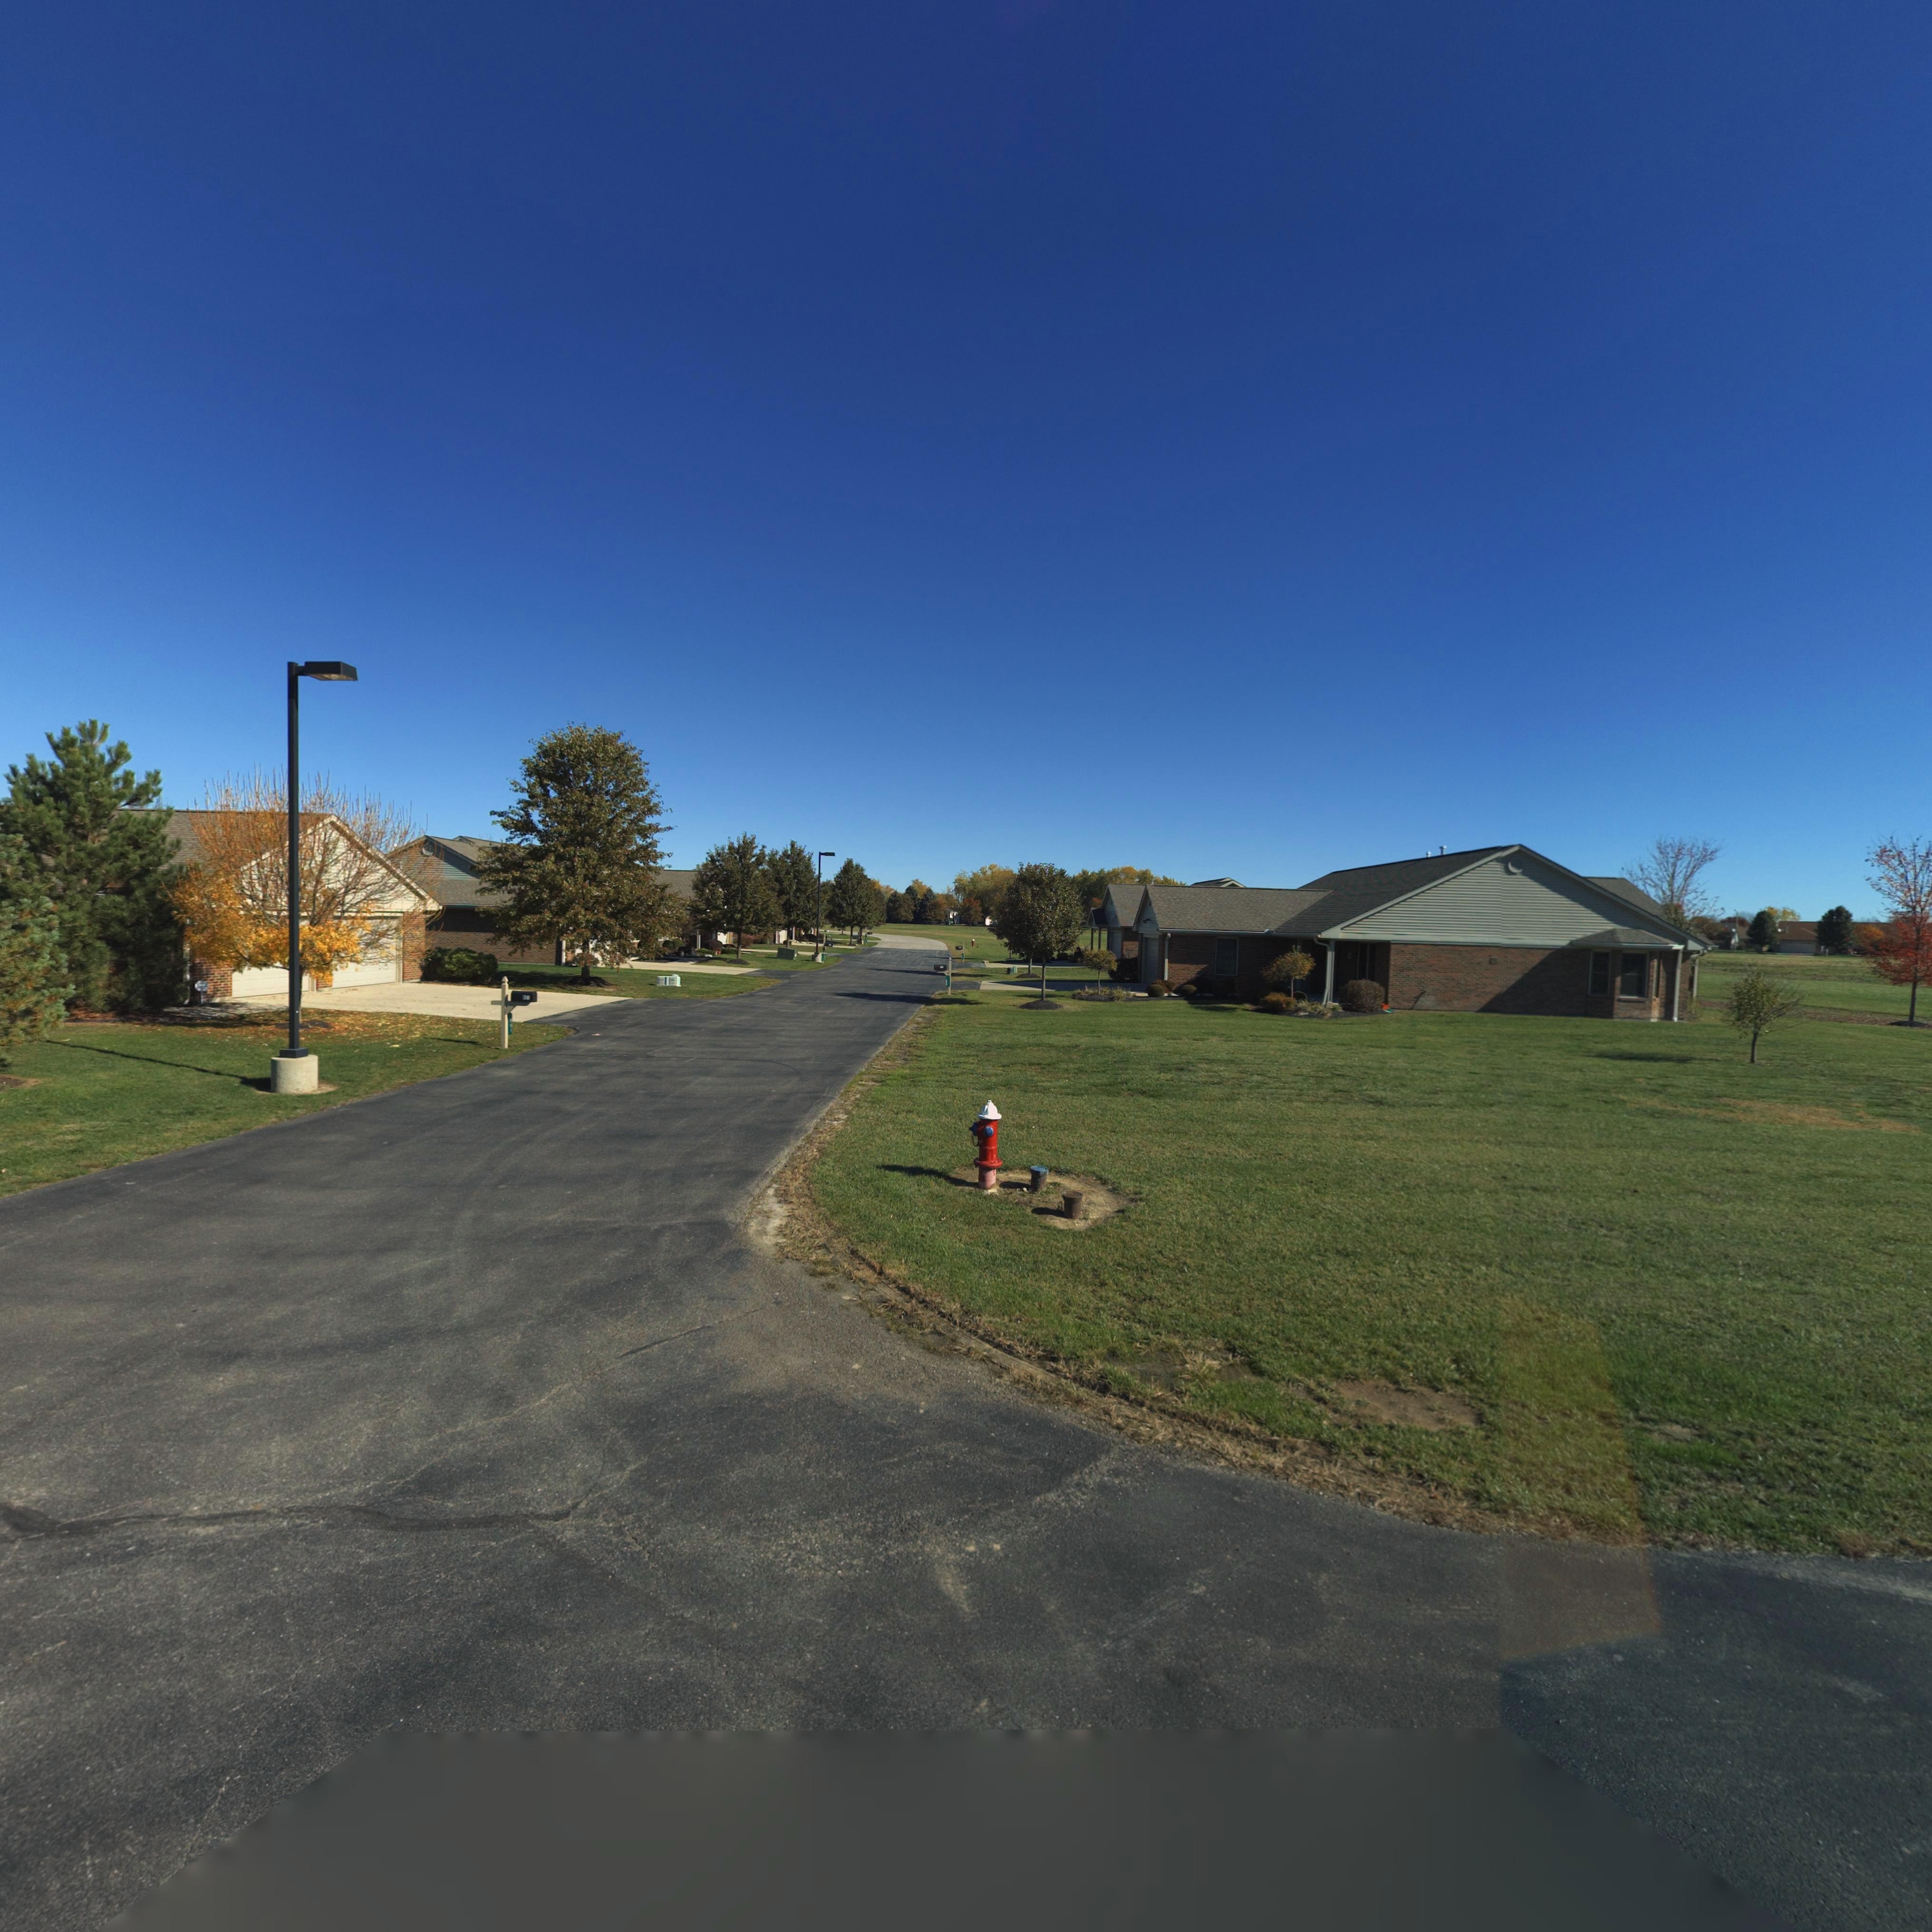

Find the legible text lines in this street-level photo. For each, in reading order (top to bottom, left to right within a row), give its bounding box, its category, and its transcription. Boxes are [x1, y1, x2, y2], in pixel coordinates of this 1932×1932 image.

[523, 995, 530, 1000] StreetNumber: 601
[509, 1018, 513, 1033] StreetNumber: 601